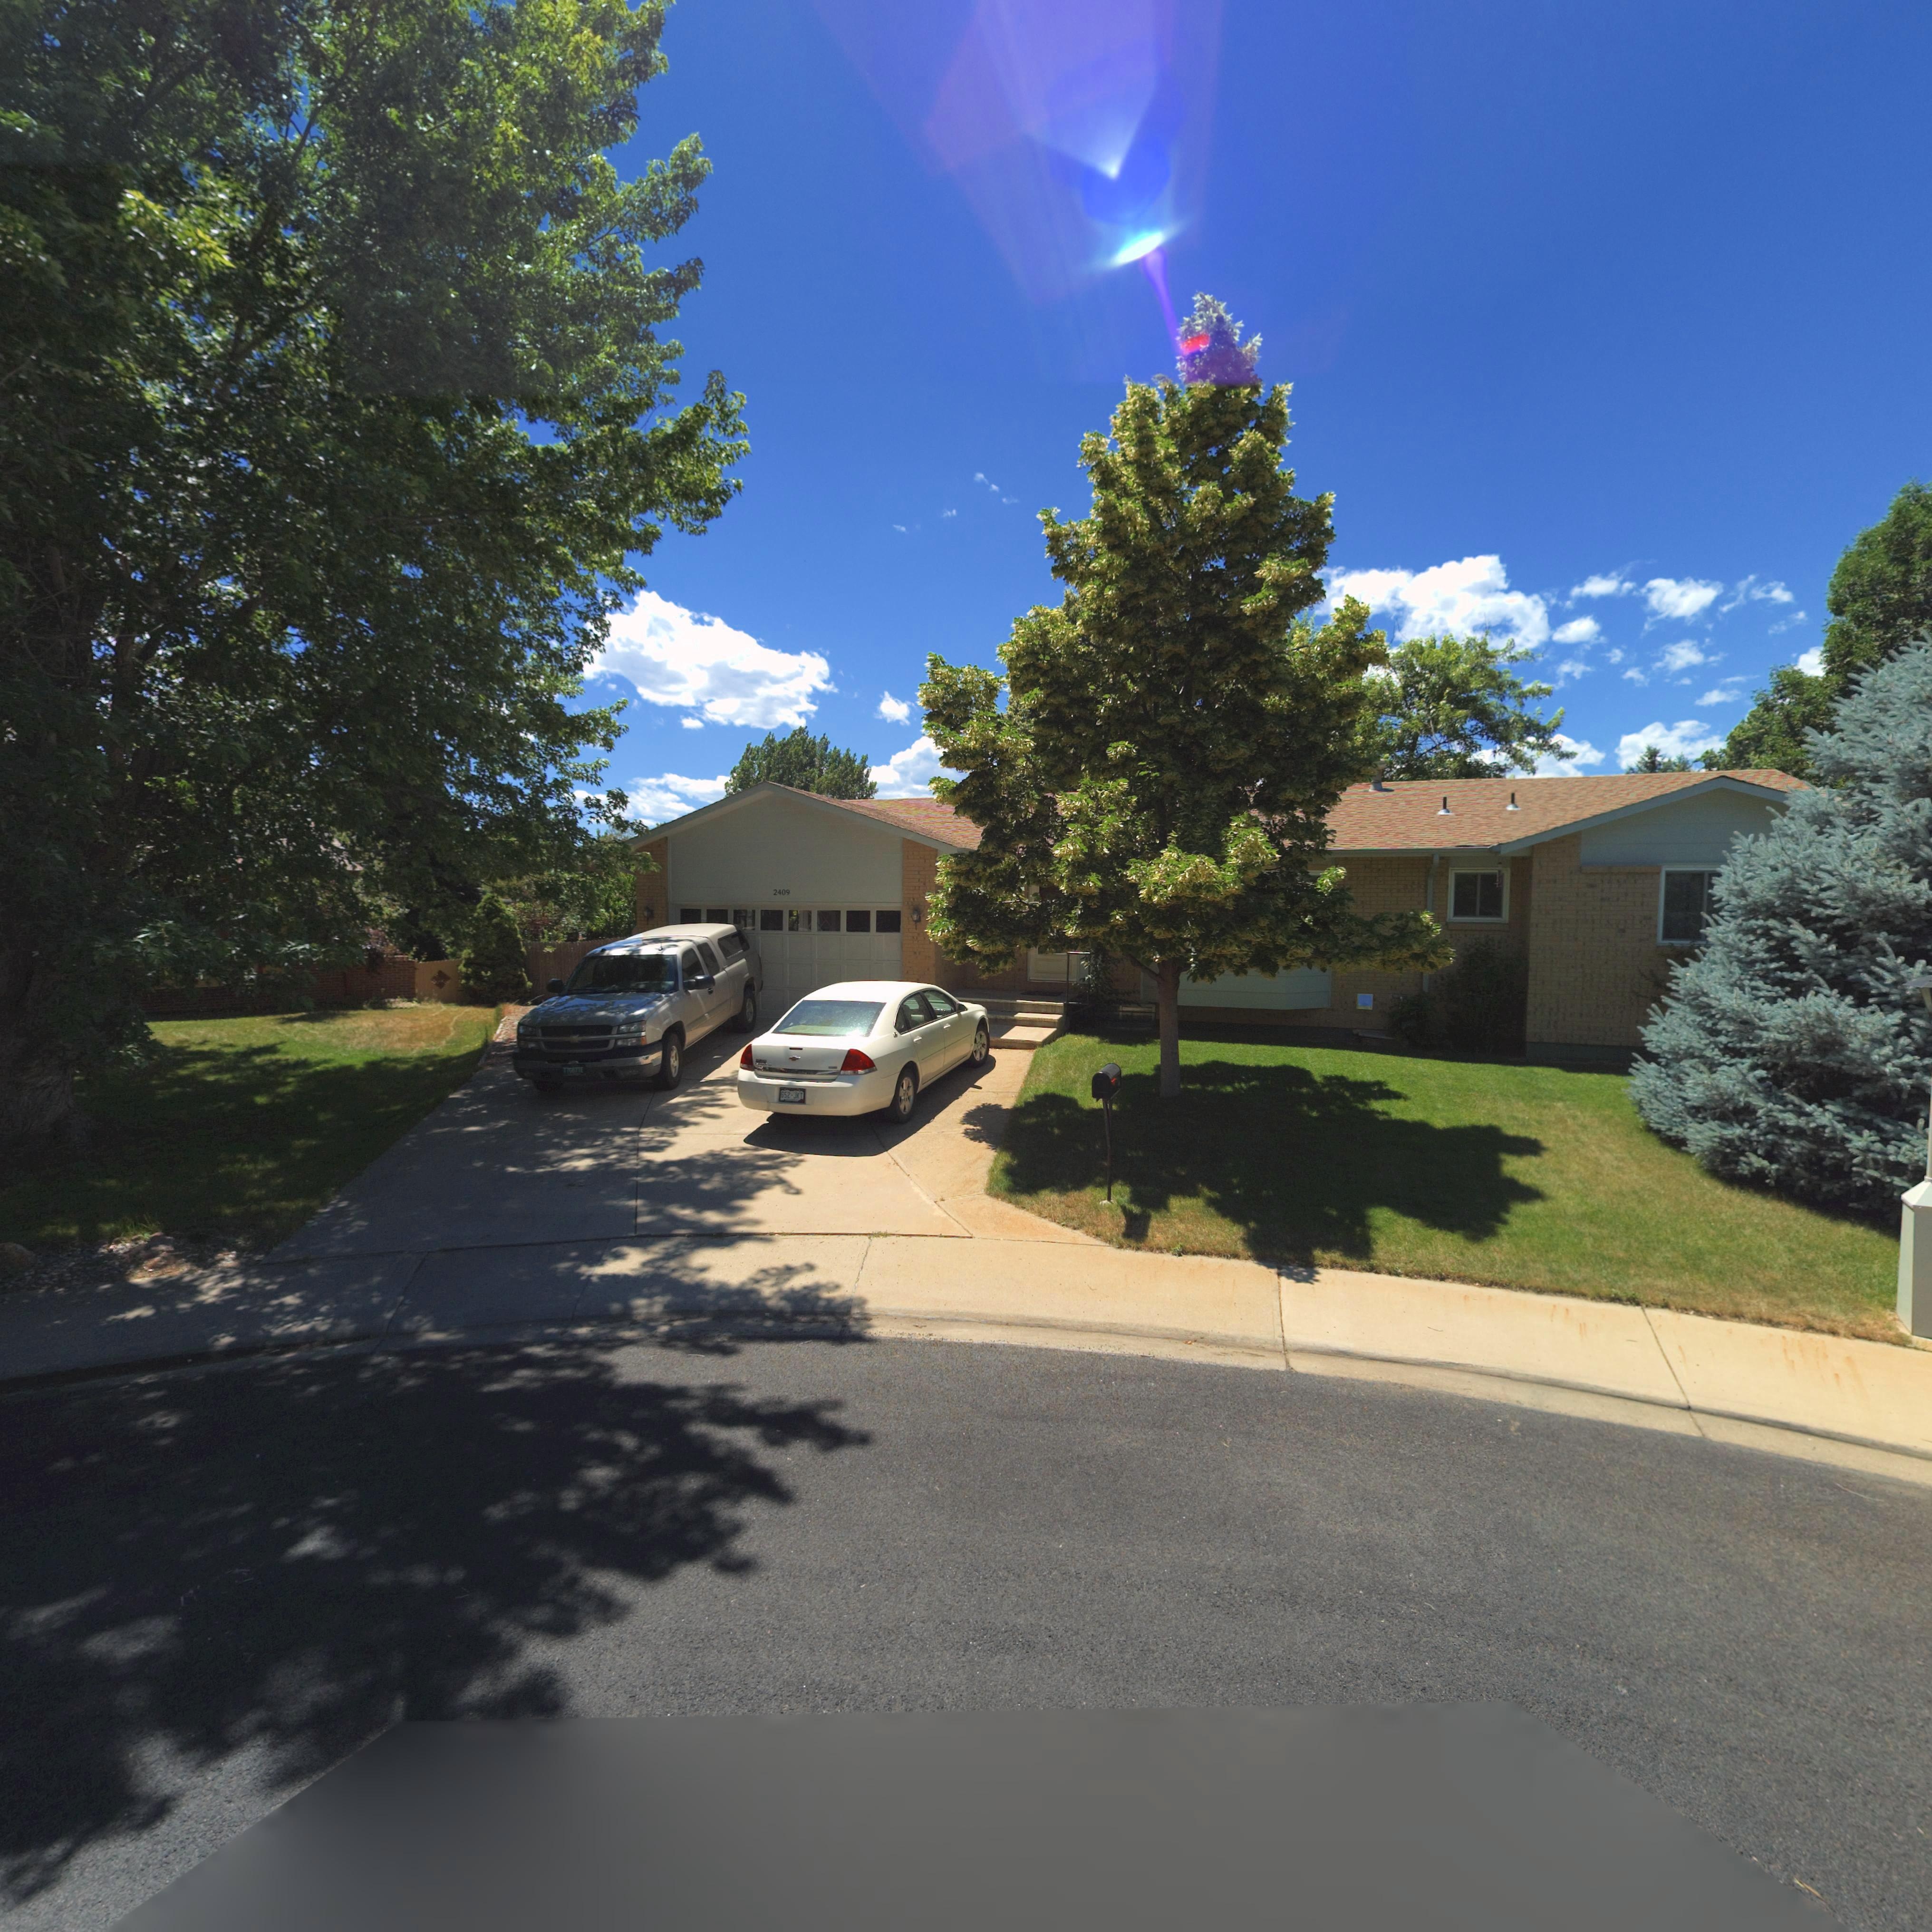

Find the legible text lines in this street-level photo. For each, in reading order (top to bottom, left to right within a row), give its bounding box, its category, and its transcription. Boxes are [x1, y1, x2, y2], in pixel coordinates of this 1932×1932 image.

[773, 889, 790, 896] StreetNumber: 2409